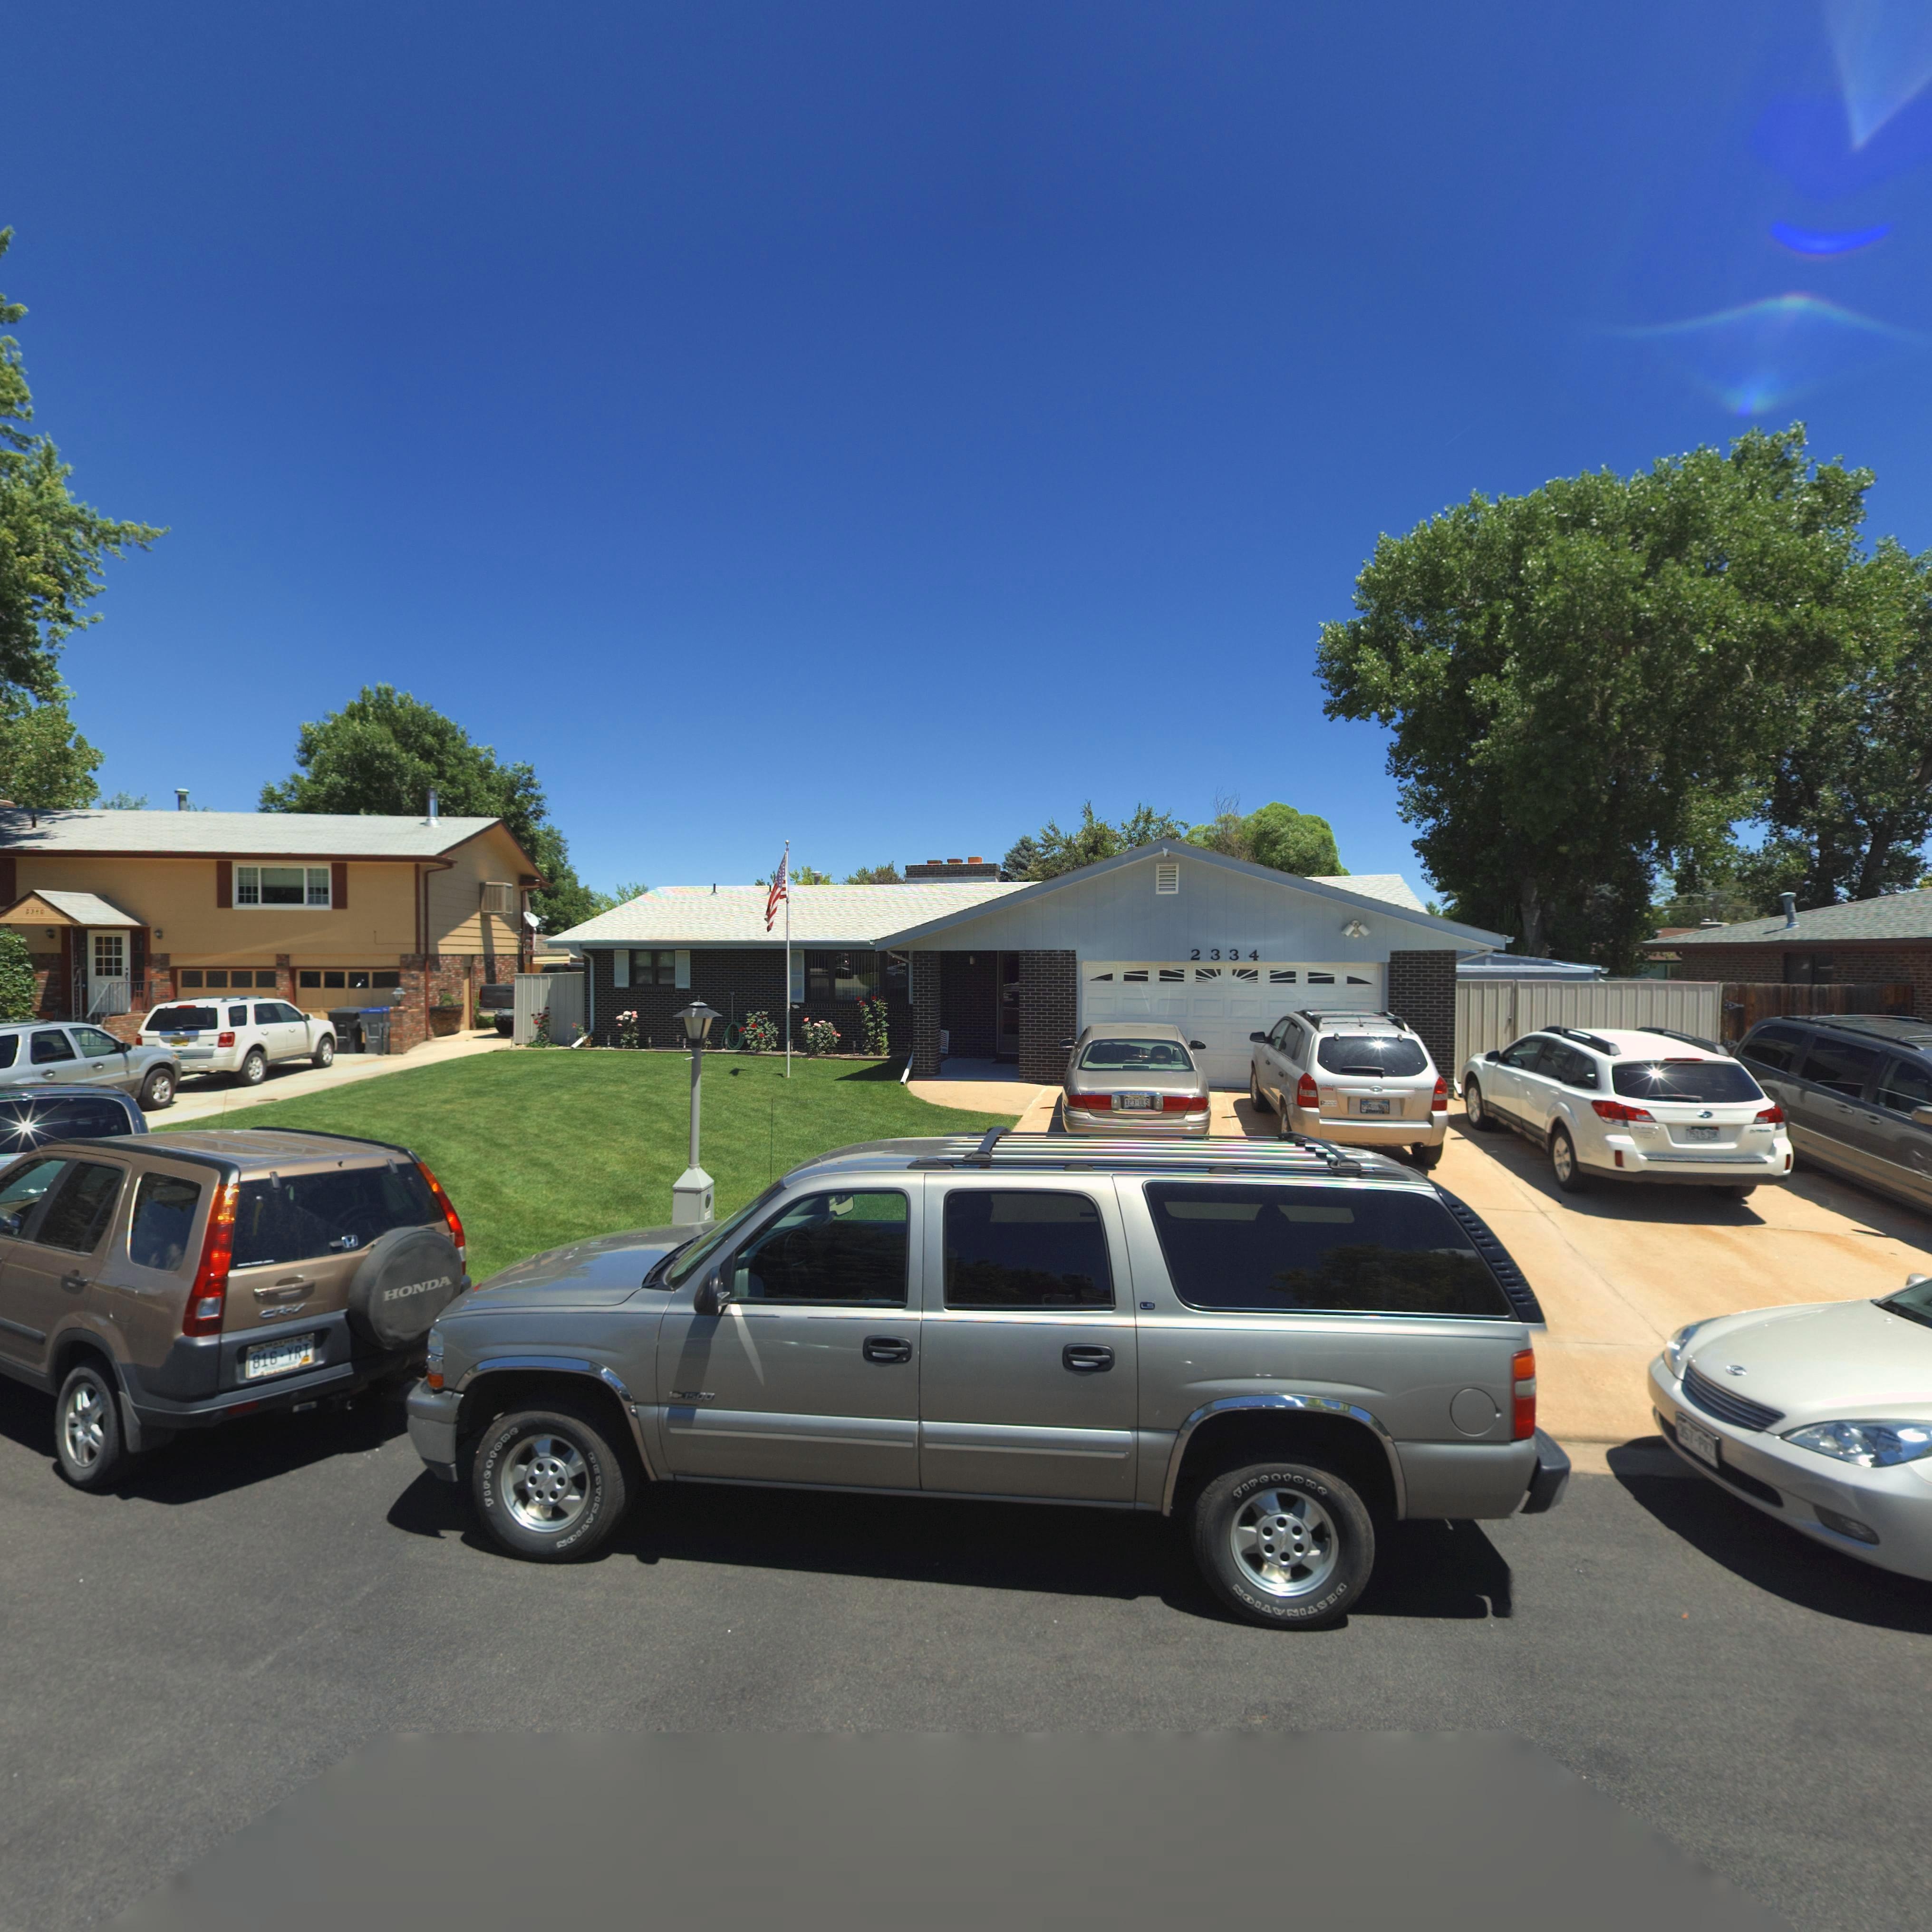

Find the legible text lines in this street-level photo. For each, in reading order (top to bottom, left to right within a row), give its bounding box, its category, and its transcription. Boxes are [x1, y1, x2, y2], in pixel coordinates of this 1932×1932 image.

[25, 908, 45, 915] StreetNumber: 2340
[1190, 948, 1259, 961] StreetNumber: 2334